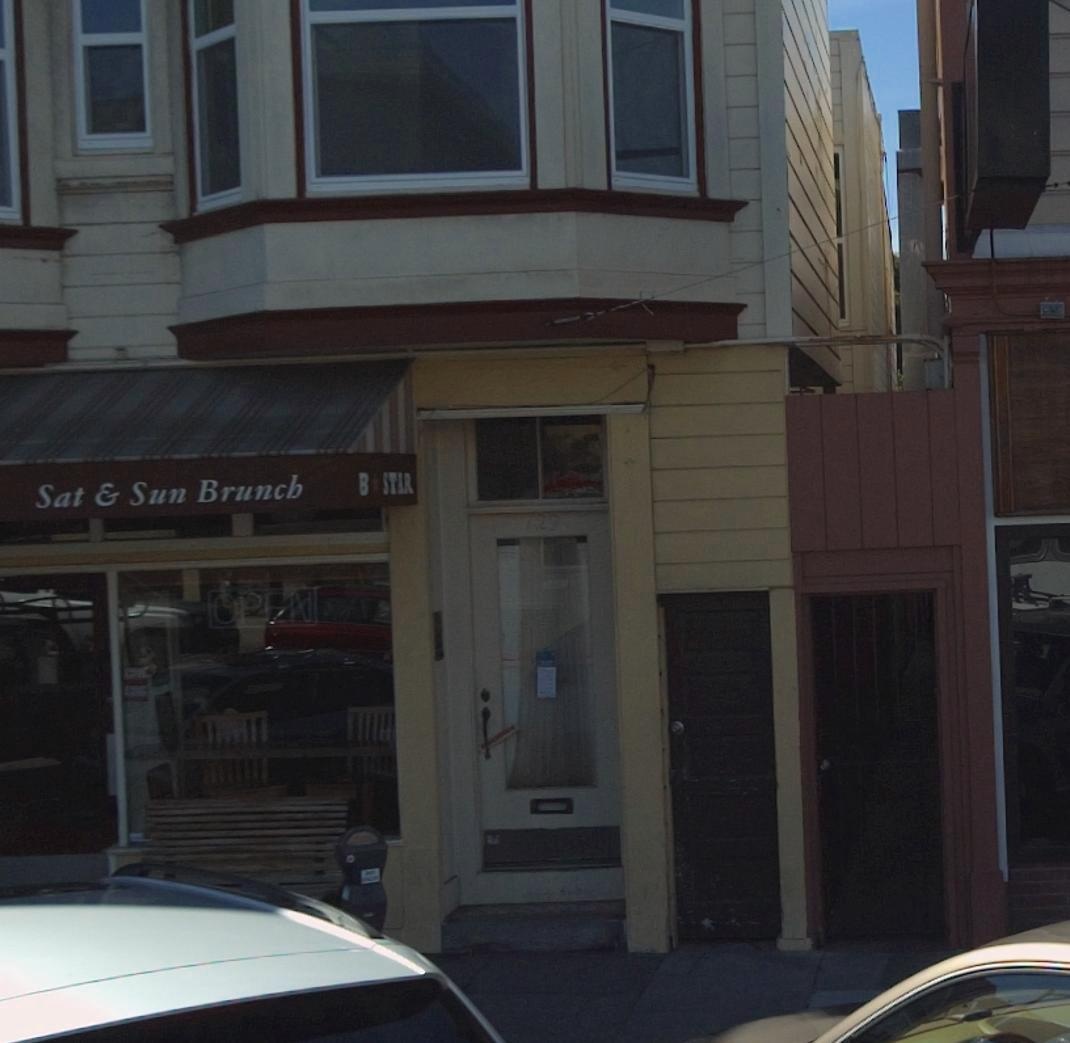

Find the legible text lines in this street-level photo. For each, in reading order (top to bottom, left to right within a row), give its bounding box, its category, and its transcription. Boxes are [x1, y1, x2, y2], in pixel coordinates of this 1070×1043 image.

[33, 472, 306, 510] None: Sat & Sun Brunch
[357, 470, 415, 498] BusinessName: B*STAR
[520, 511, 560, 536] StreetNumber: 129
[210, 590, 314, 626] None: OPEN